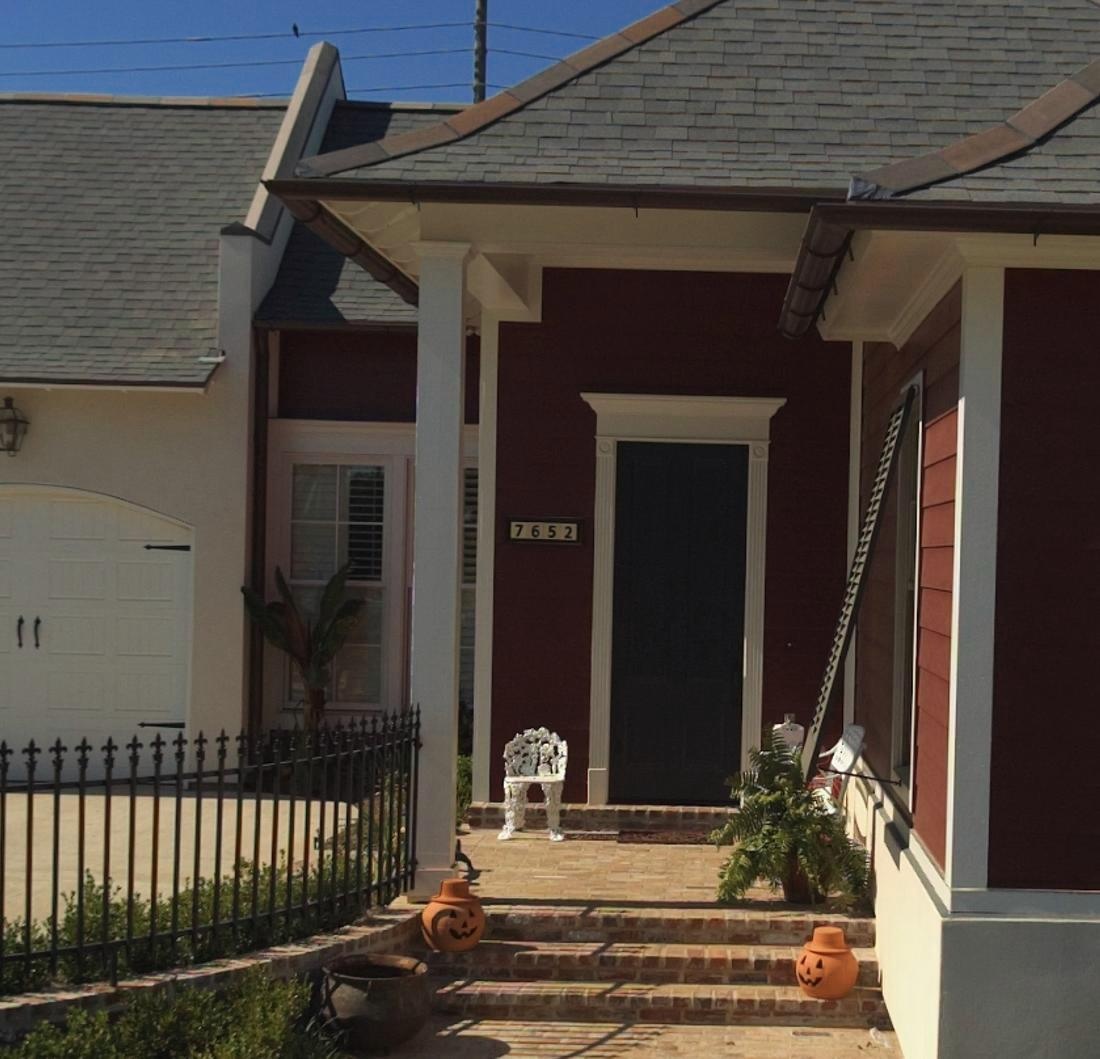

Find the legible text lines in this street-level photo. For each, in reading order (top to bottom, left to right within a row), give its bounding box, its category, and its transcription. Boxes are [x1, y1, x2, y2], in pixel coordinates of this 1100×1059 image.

[513, 524, 573, 539] StreetNumber: 7652